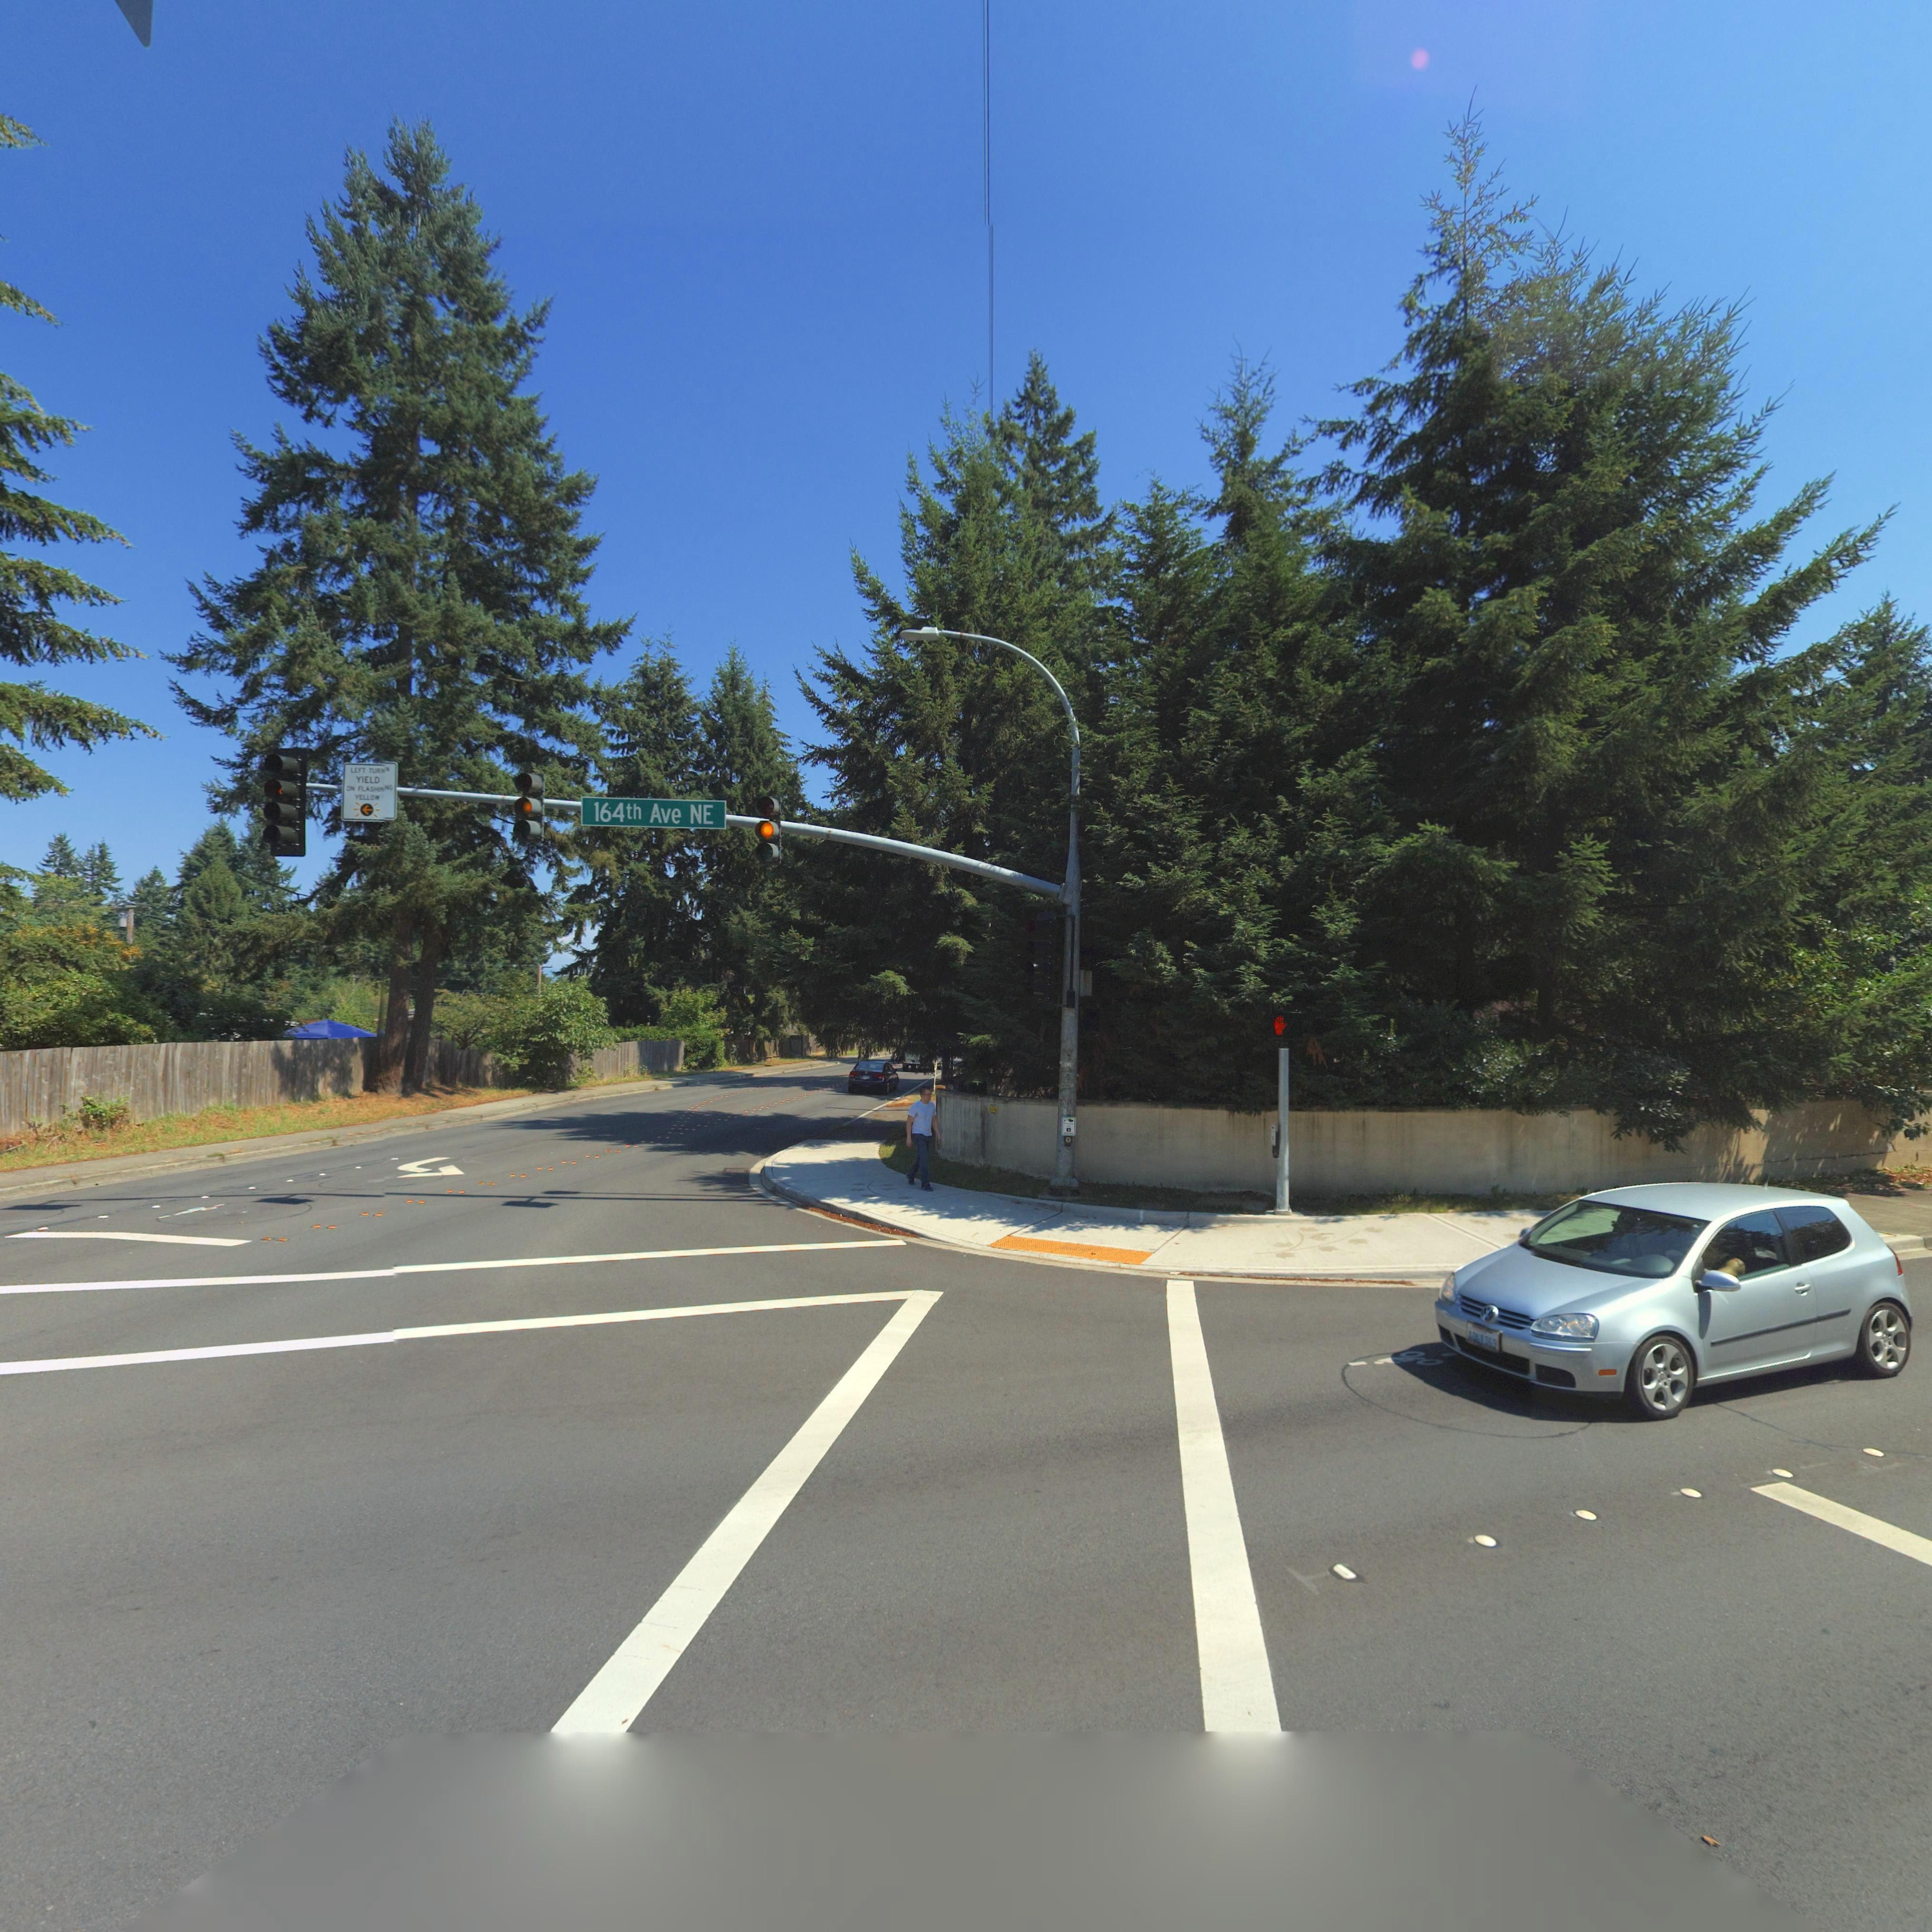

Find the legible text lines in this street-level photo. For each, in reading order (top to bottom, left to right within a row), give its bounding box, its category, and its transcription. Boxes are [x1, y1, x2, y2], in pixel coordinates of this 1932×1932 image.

[592, 799, 716, 825] StreetName: 164th Ave NE